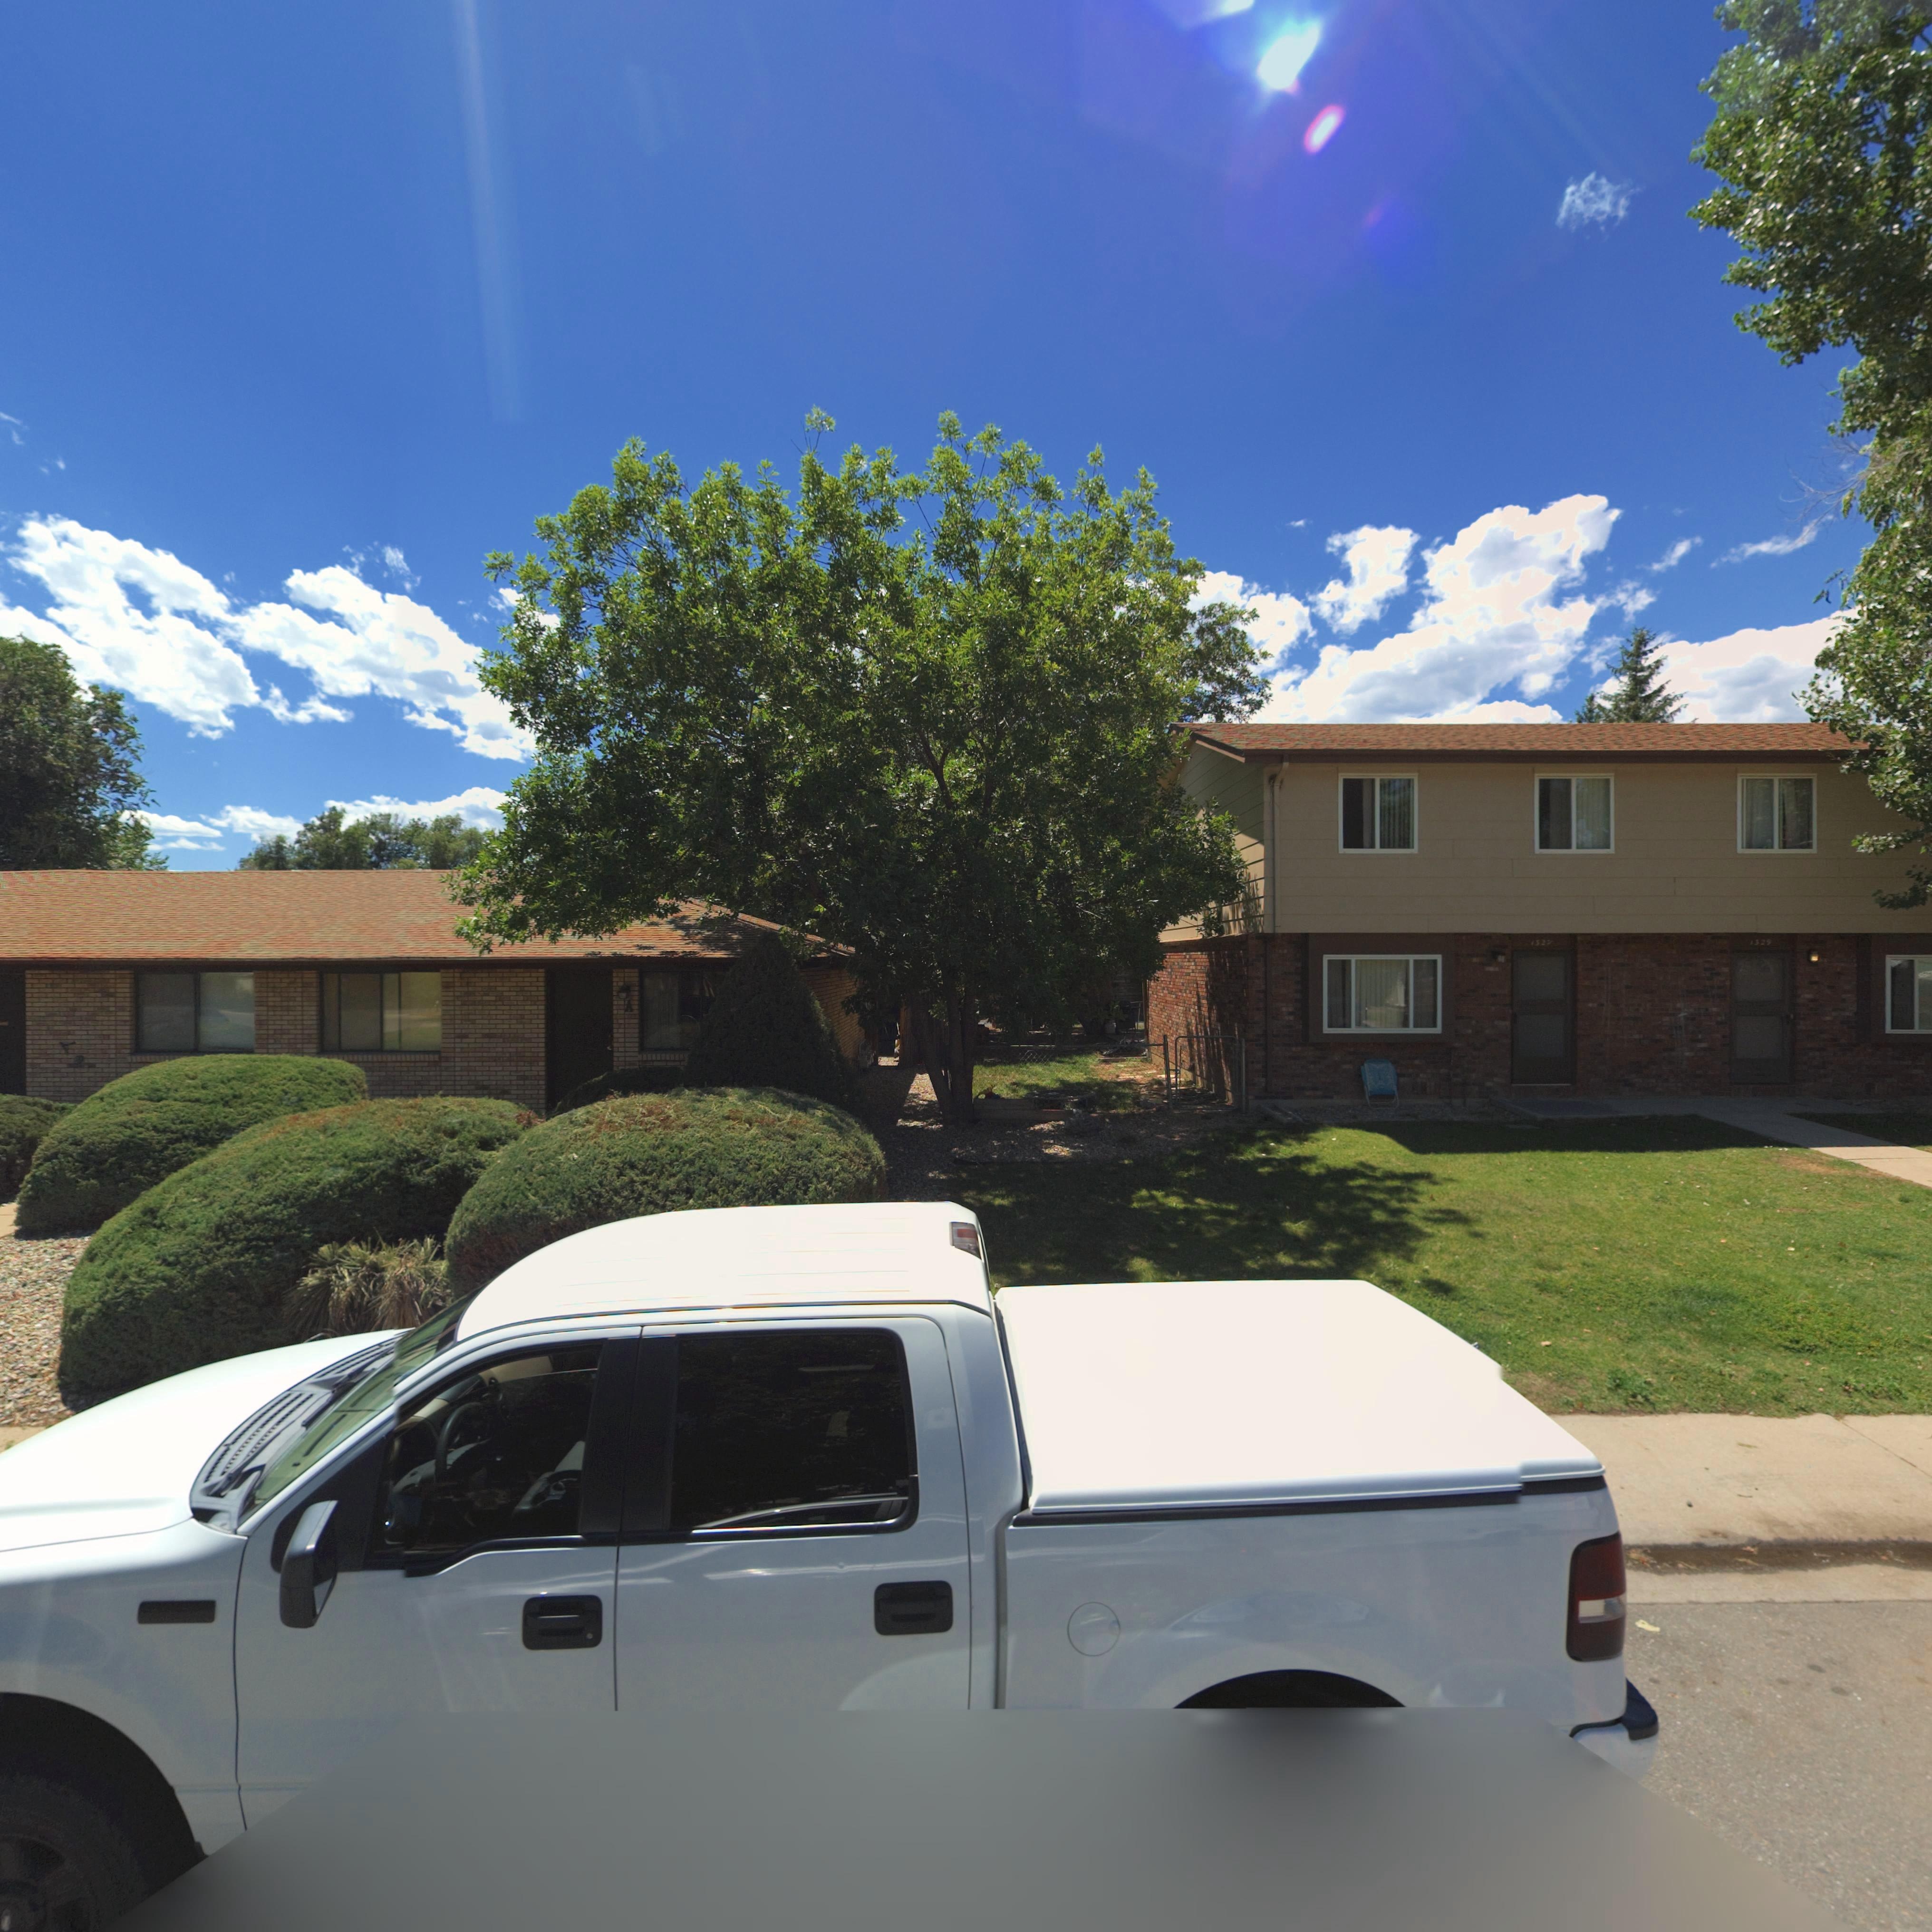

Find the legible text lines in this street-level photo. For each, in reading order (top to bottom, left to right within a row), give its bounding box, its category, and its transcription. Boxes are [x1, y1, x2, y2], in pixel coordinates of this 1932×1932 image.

[1530, 938, 1554, 946] StreetNumber: 1327
[1748, 938, 1772, 946] StreetNumber: 1329